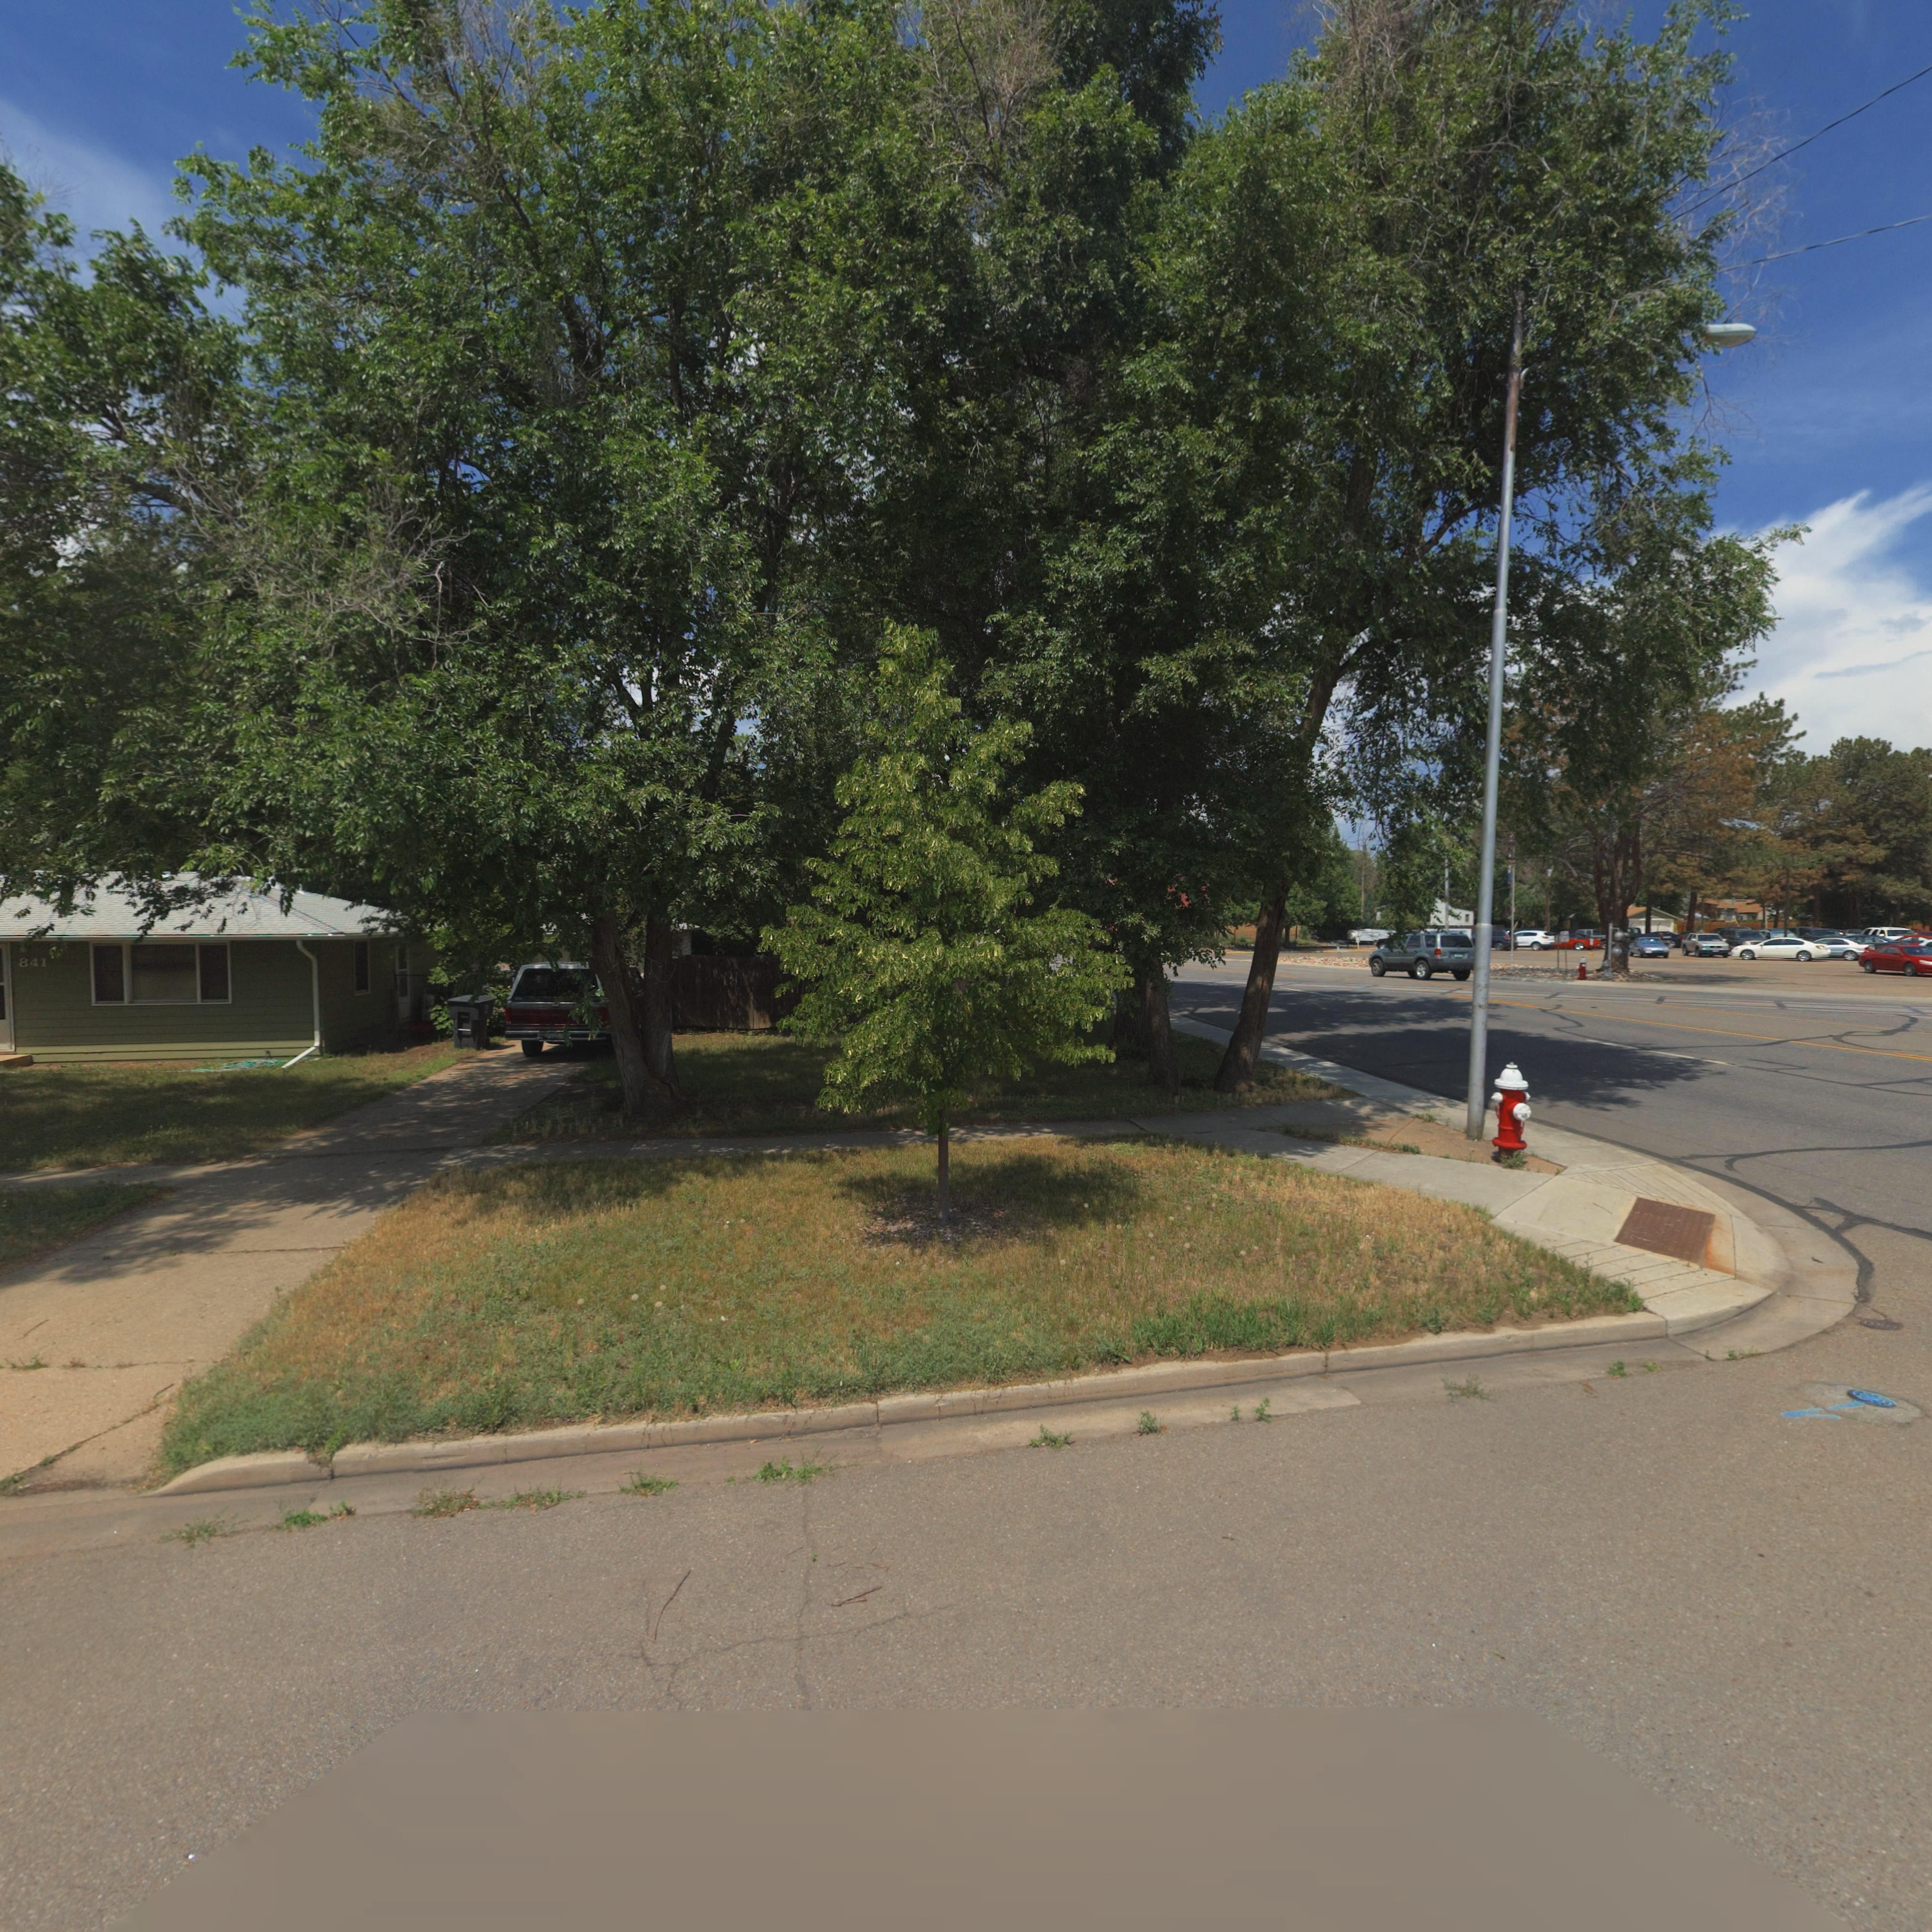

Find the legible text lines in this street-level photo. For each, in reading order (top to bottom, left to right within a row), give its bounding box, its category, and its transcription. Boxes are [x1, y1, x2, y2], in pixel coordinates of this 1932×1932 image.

[18, 957, 48, 967] StreetNumber: 841